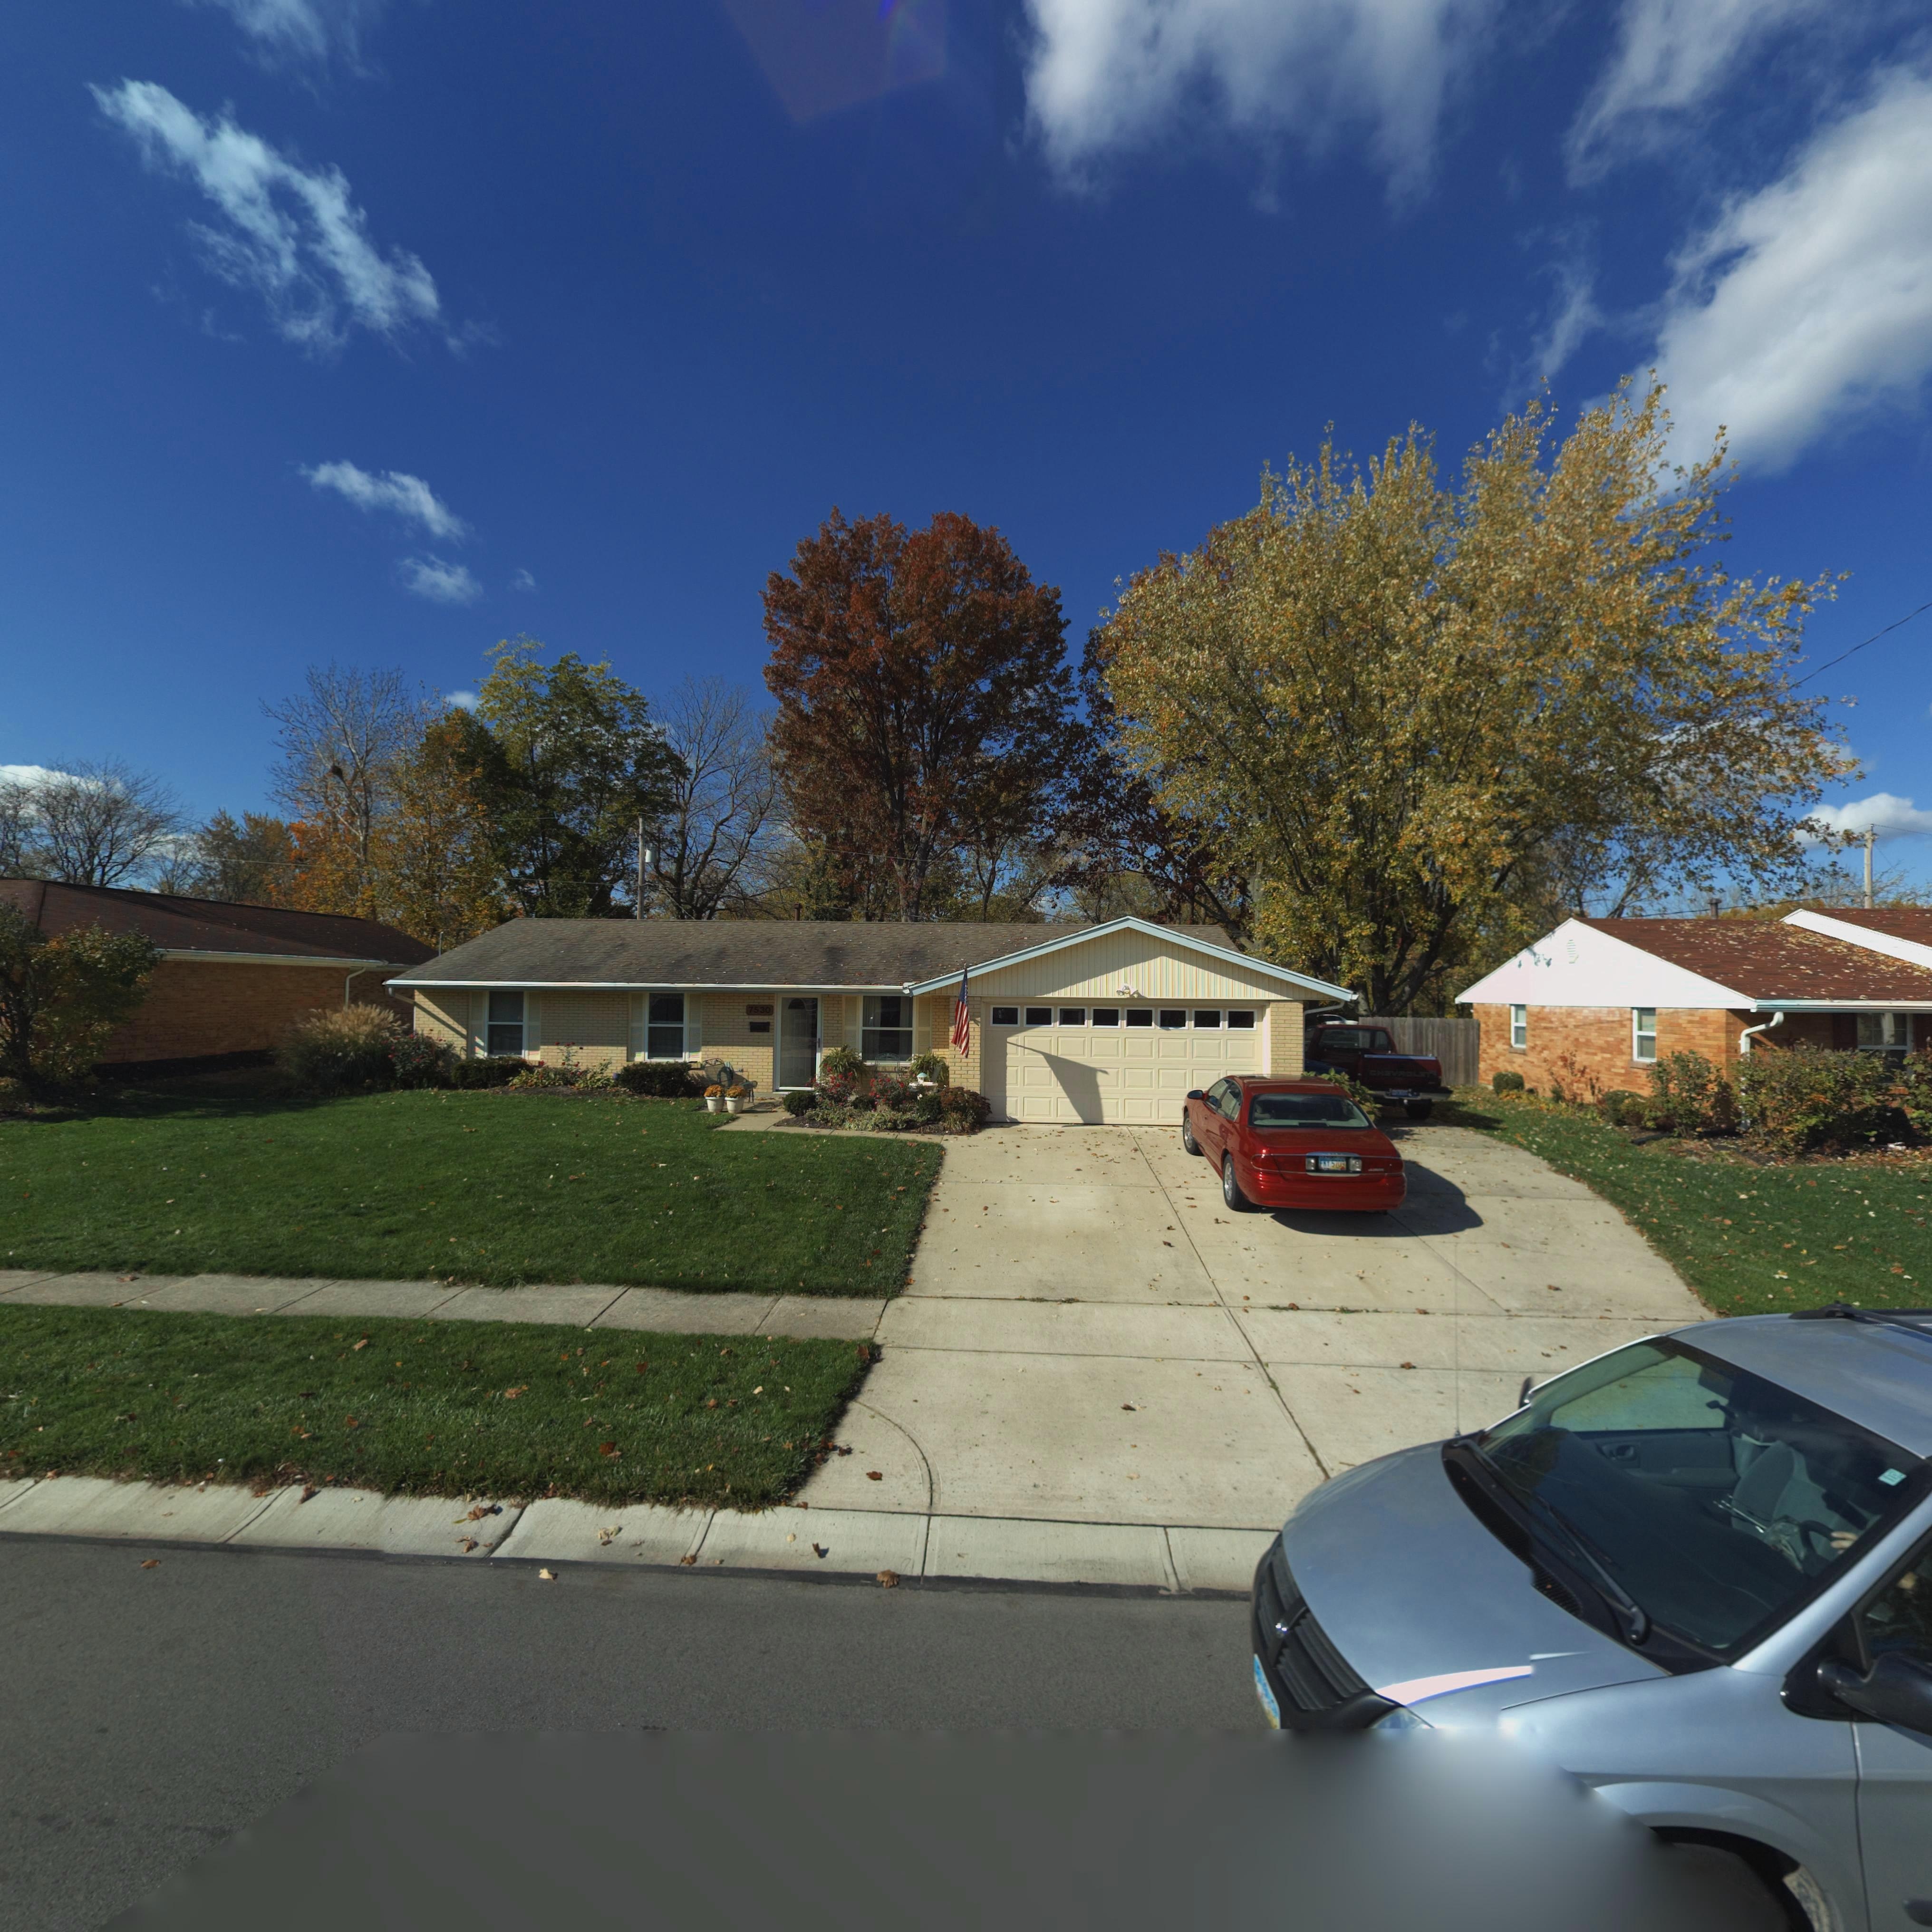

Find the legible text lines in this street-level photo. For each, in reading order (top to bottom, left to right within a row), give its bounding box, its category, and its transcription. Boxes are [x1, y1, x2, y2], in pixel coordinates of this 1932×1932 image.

[748, 1005, 771, 1014] StreetNumber: 7530